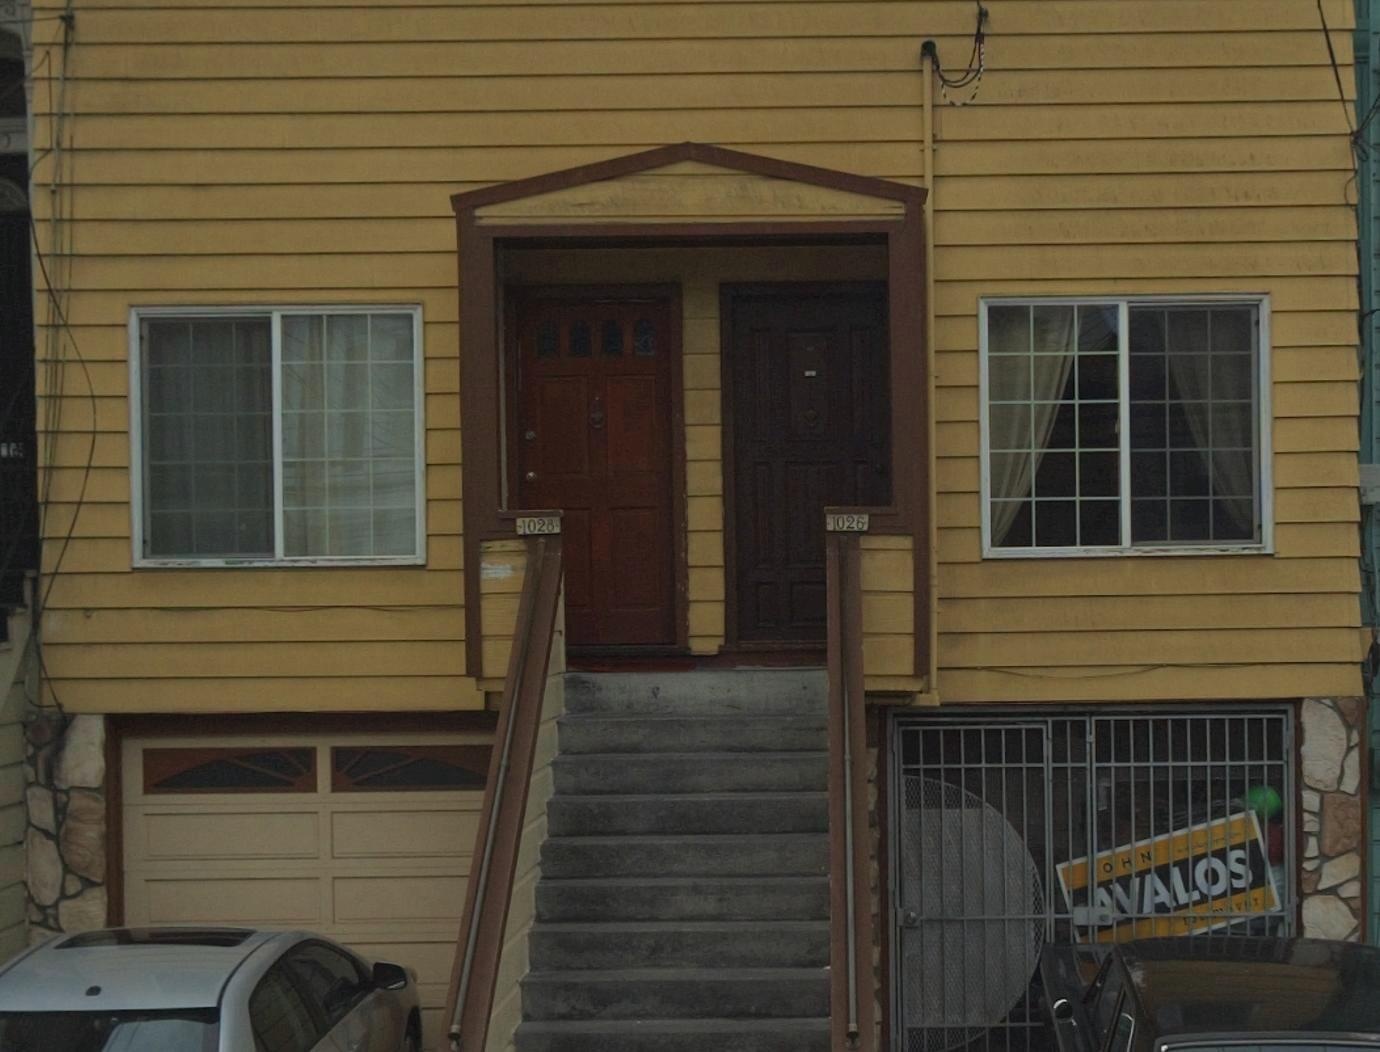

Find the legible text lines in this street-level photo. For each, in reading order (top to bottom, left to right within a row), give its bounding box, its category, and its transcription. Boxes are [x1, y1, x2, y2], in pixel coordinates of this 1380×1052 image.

[520, 517, 556, 534] StreetNumber: 1028
[831, 514, 867, 531] StreetNumber: 1026
[1100, 848, 1155, 875] None: OHN